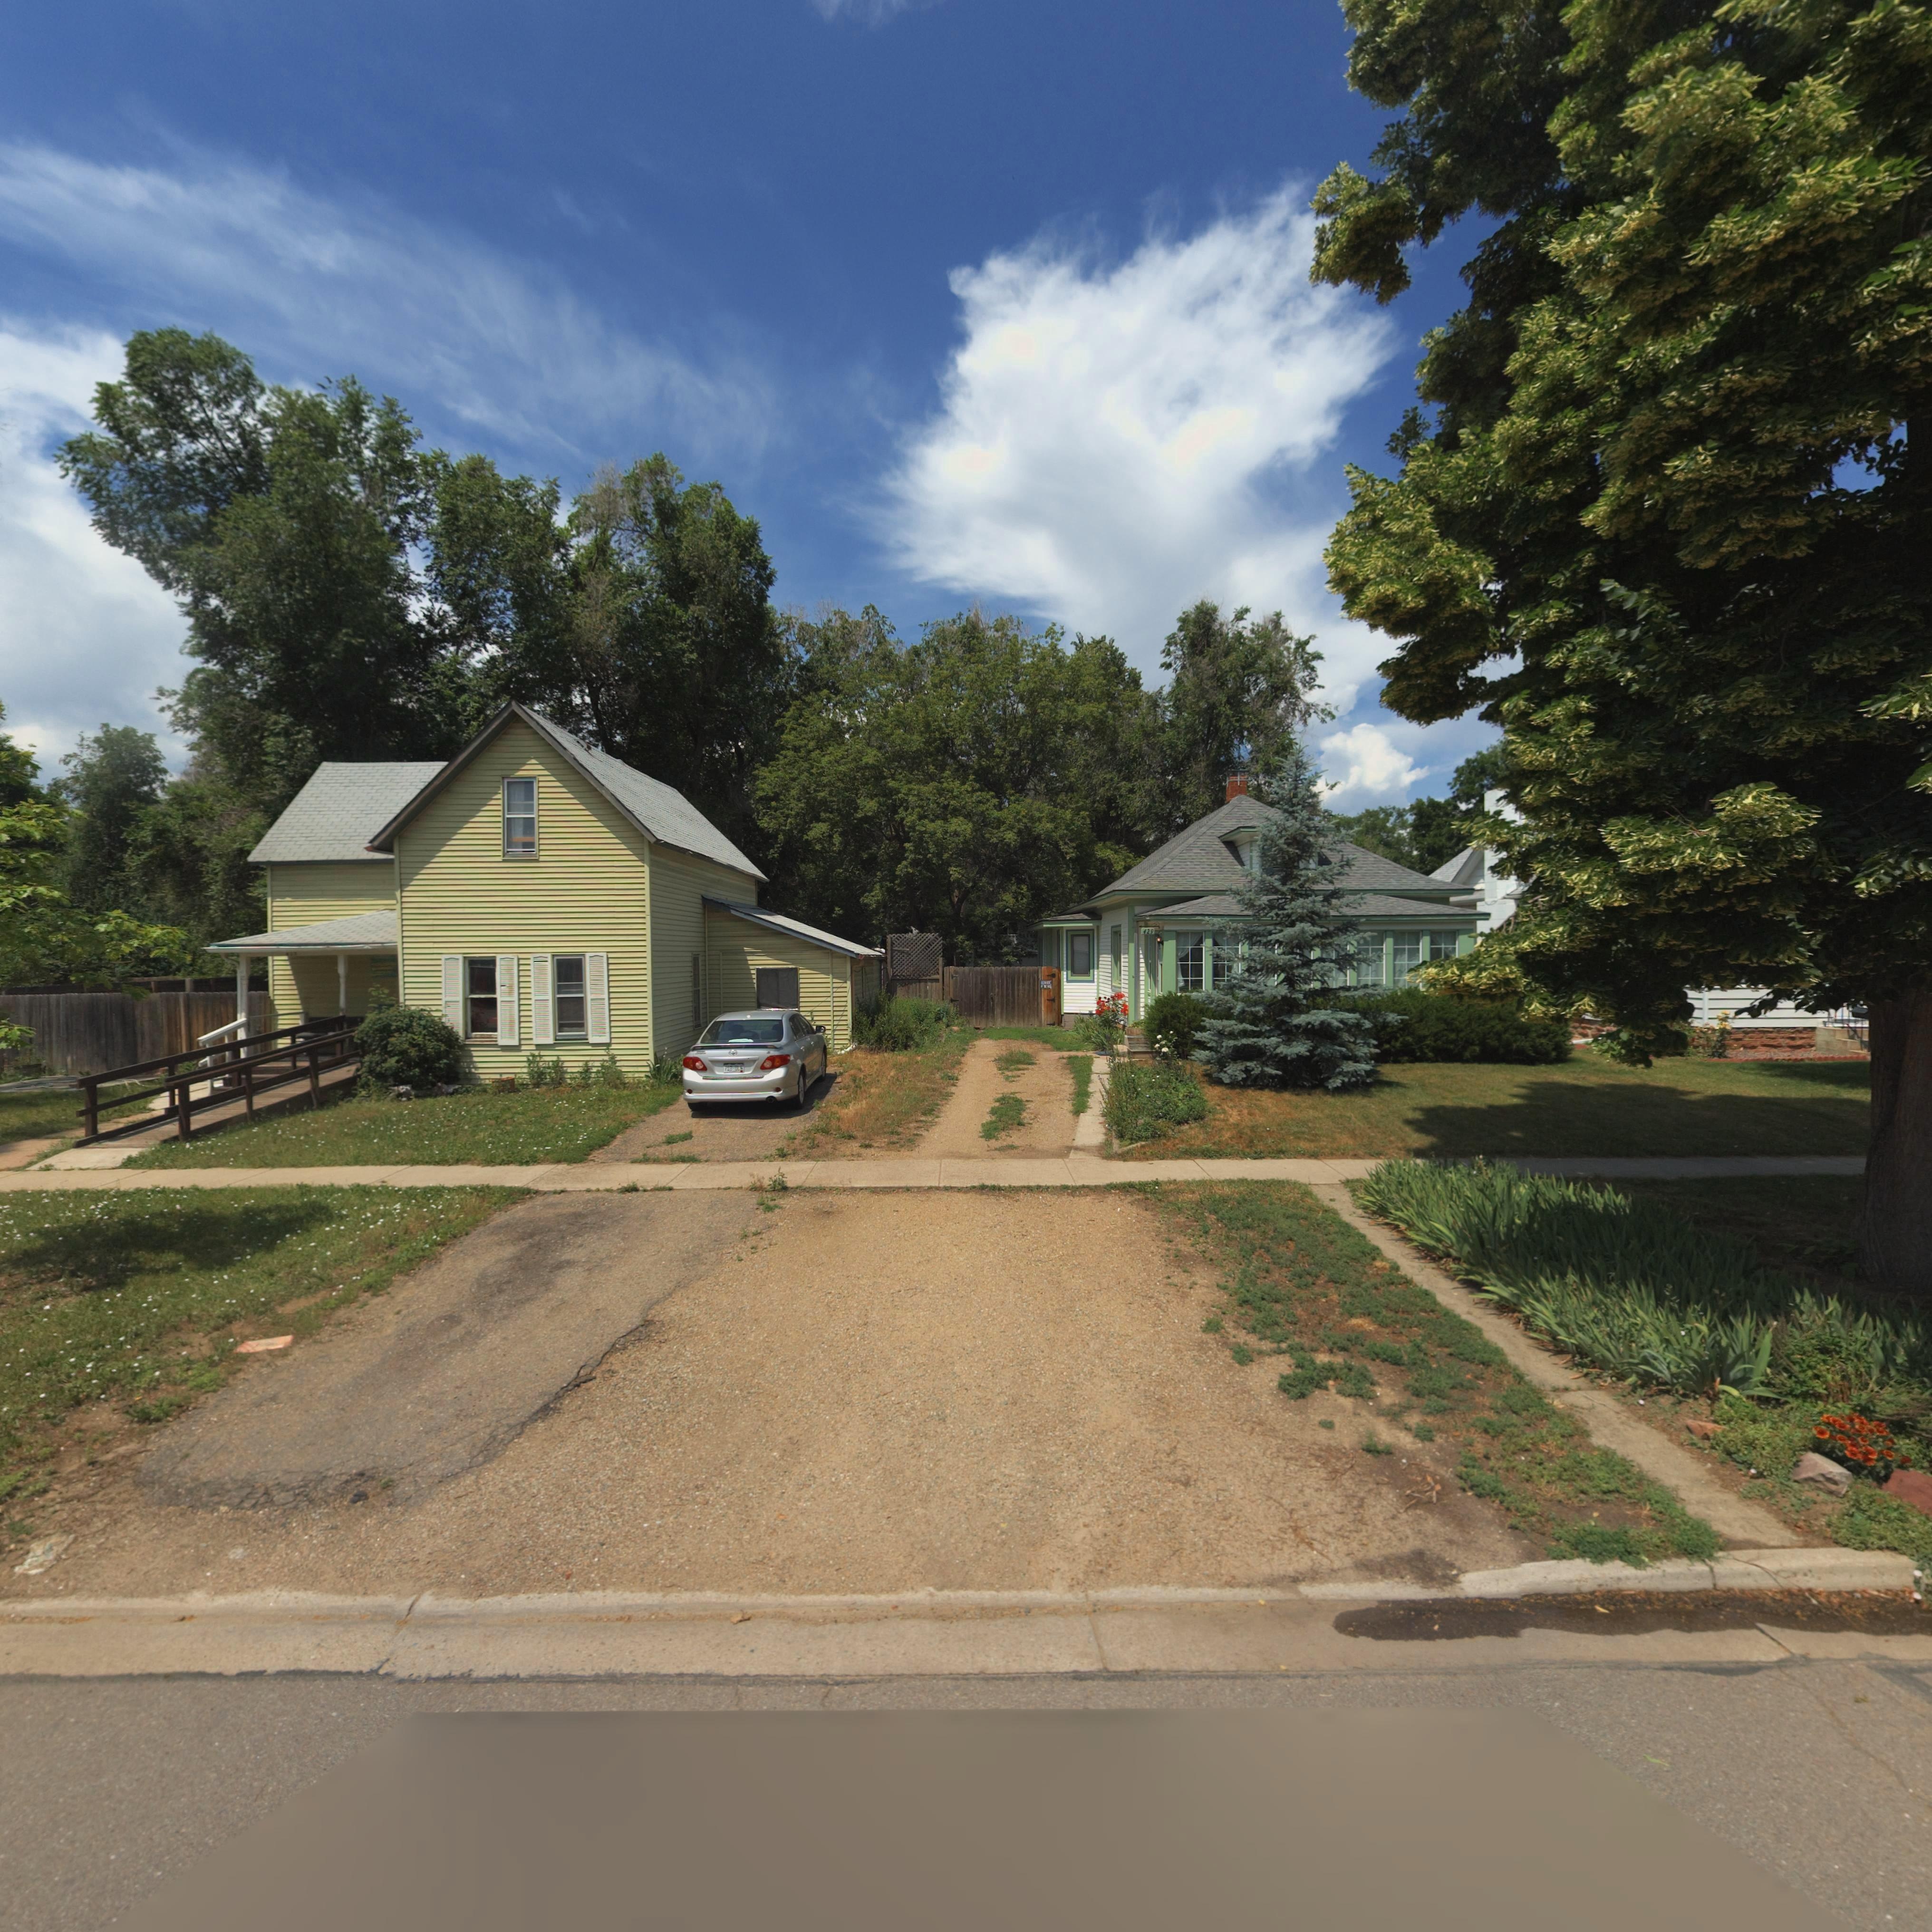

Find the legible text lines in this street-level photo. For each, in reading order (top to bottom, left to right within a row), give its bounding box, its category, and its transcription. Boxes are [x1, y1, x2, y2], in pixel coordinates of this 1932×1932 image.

[1143, 929, 1153, 934] StreetNumber: 429